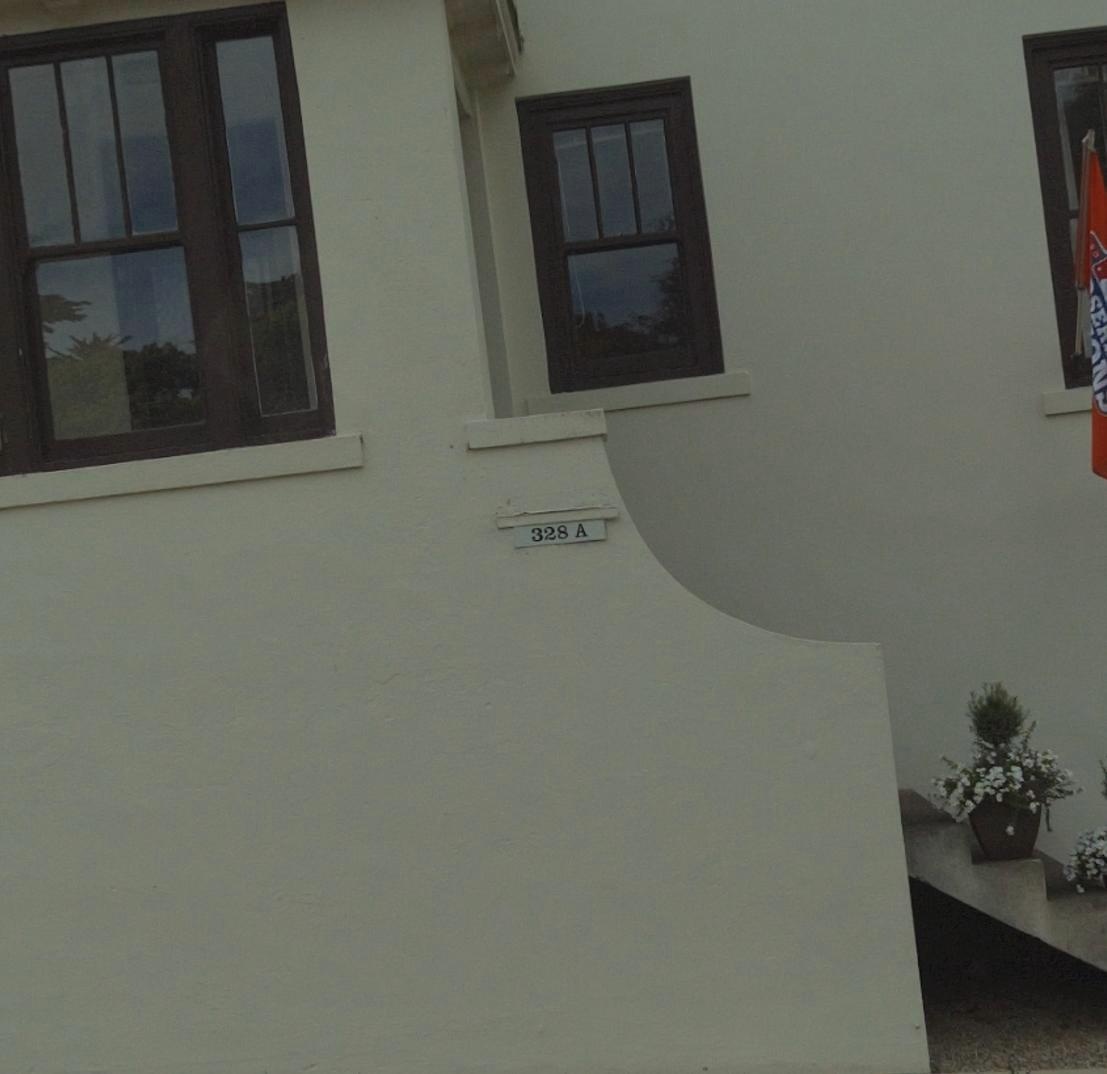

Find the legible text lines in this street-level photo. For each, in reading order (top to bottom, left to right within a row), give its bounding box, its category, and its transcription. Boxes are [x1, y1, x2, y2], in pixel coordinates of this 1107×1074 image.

[529, 521, 592, 543] StreetNumber: 328 A